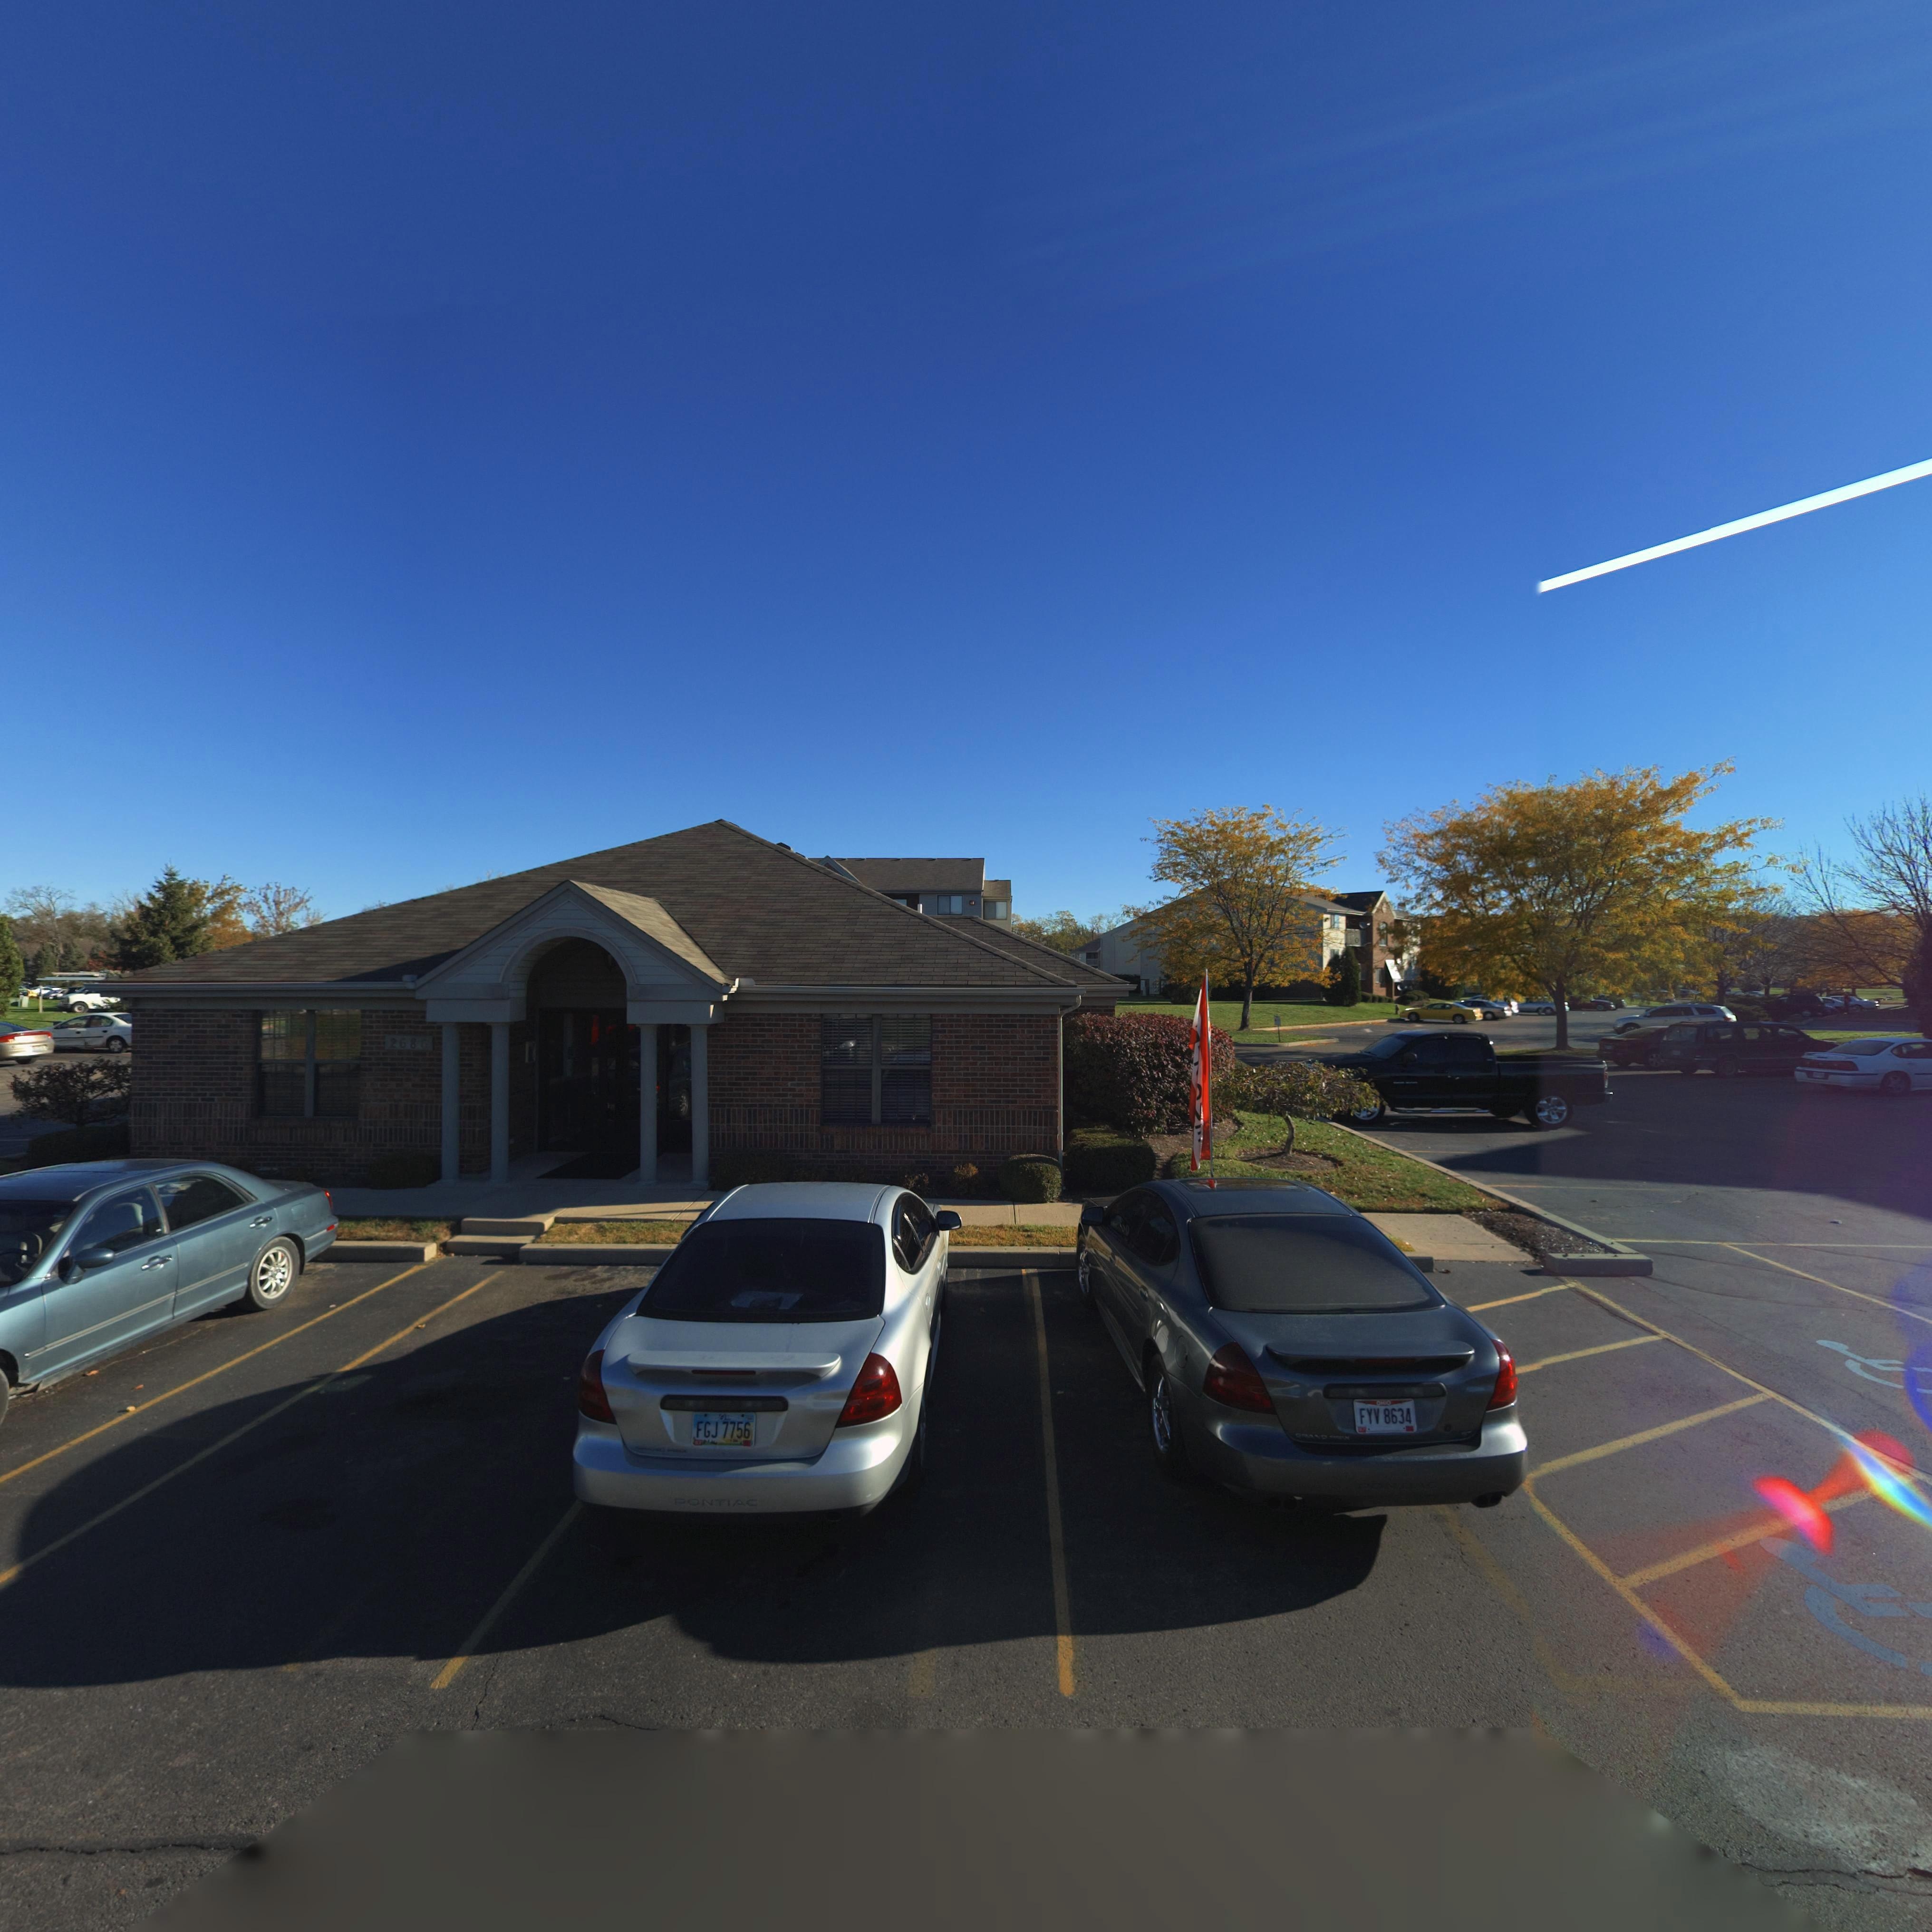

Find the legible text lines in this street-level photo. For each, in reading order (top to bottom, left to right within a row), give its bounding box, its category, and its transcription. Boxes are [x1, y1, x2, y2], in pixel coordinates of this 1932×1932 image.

[388, 1037, 429, 1050] StreetNumber: 2686